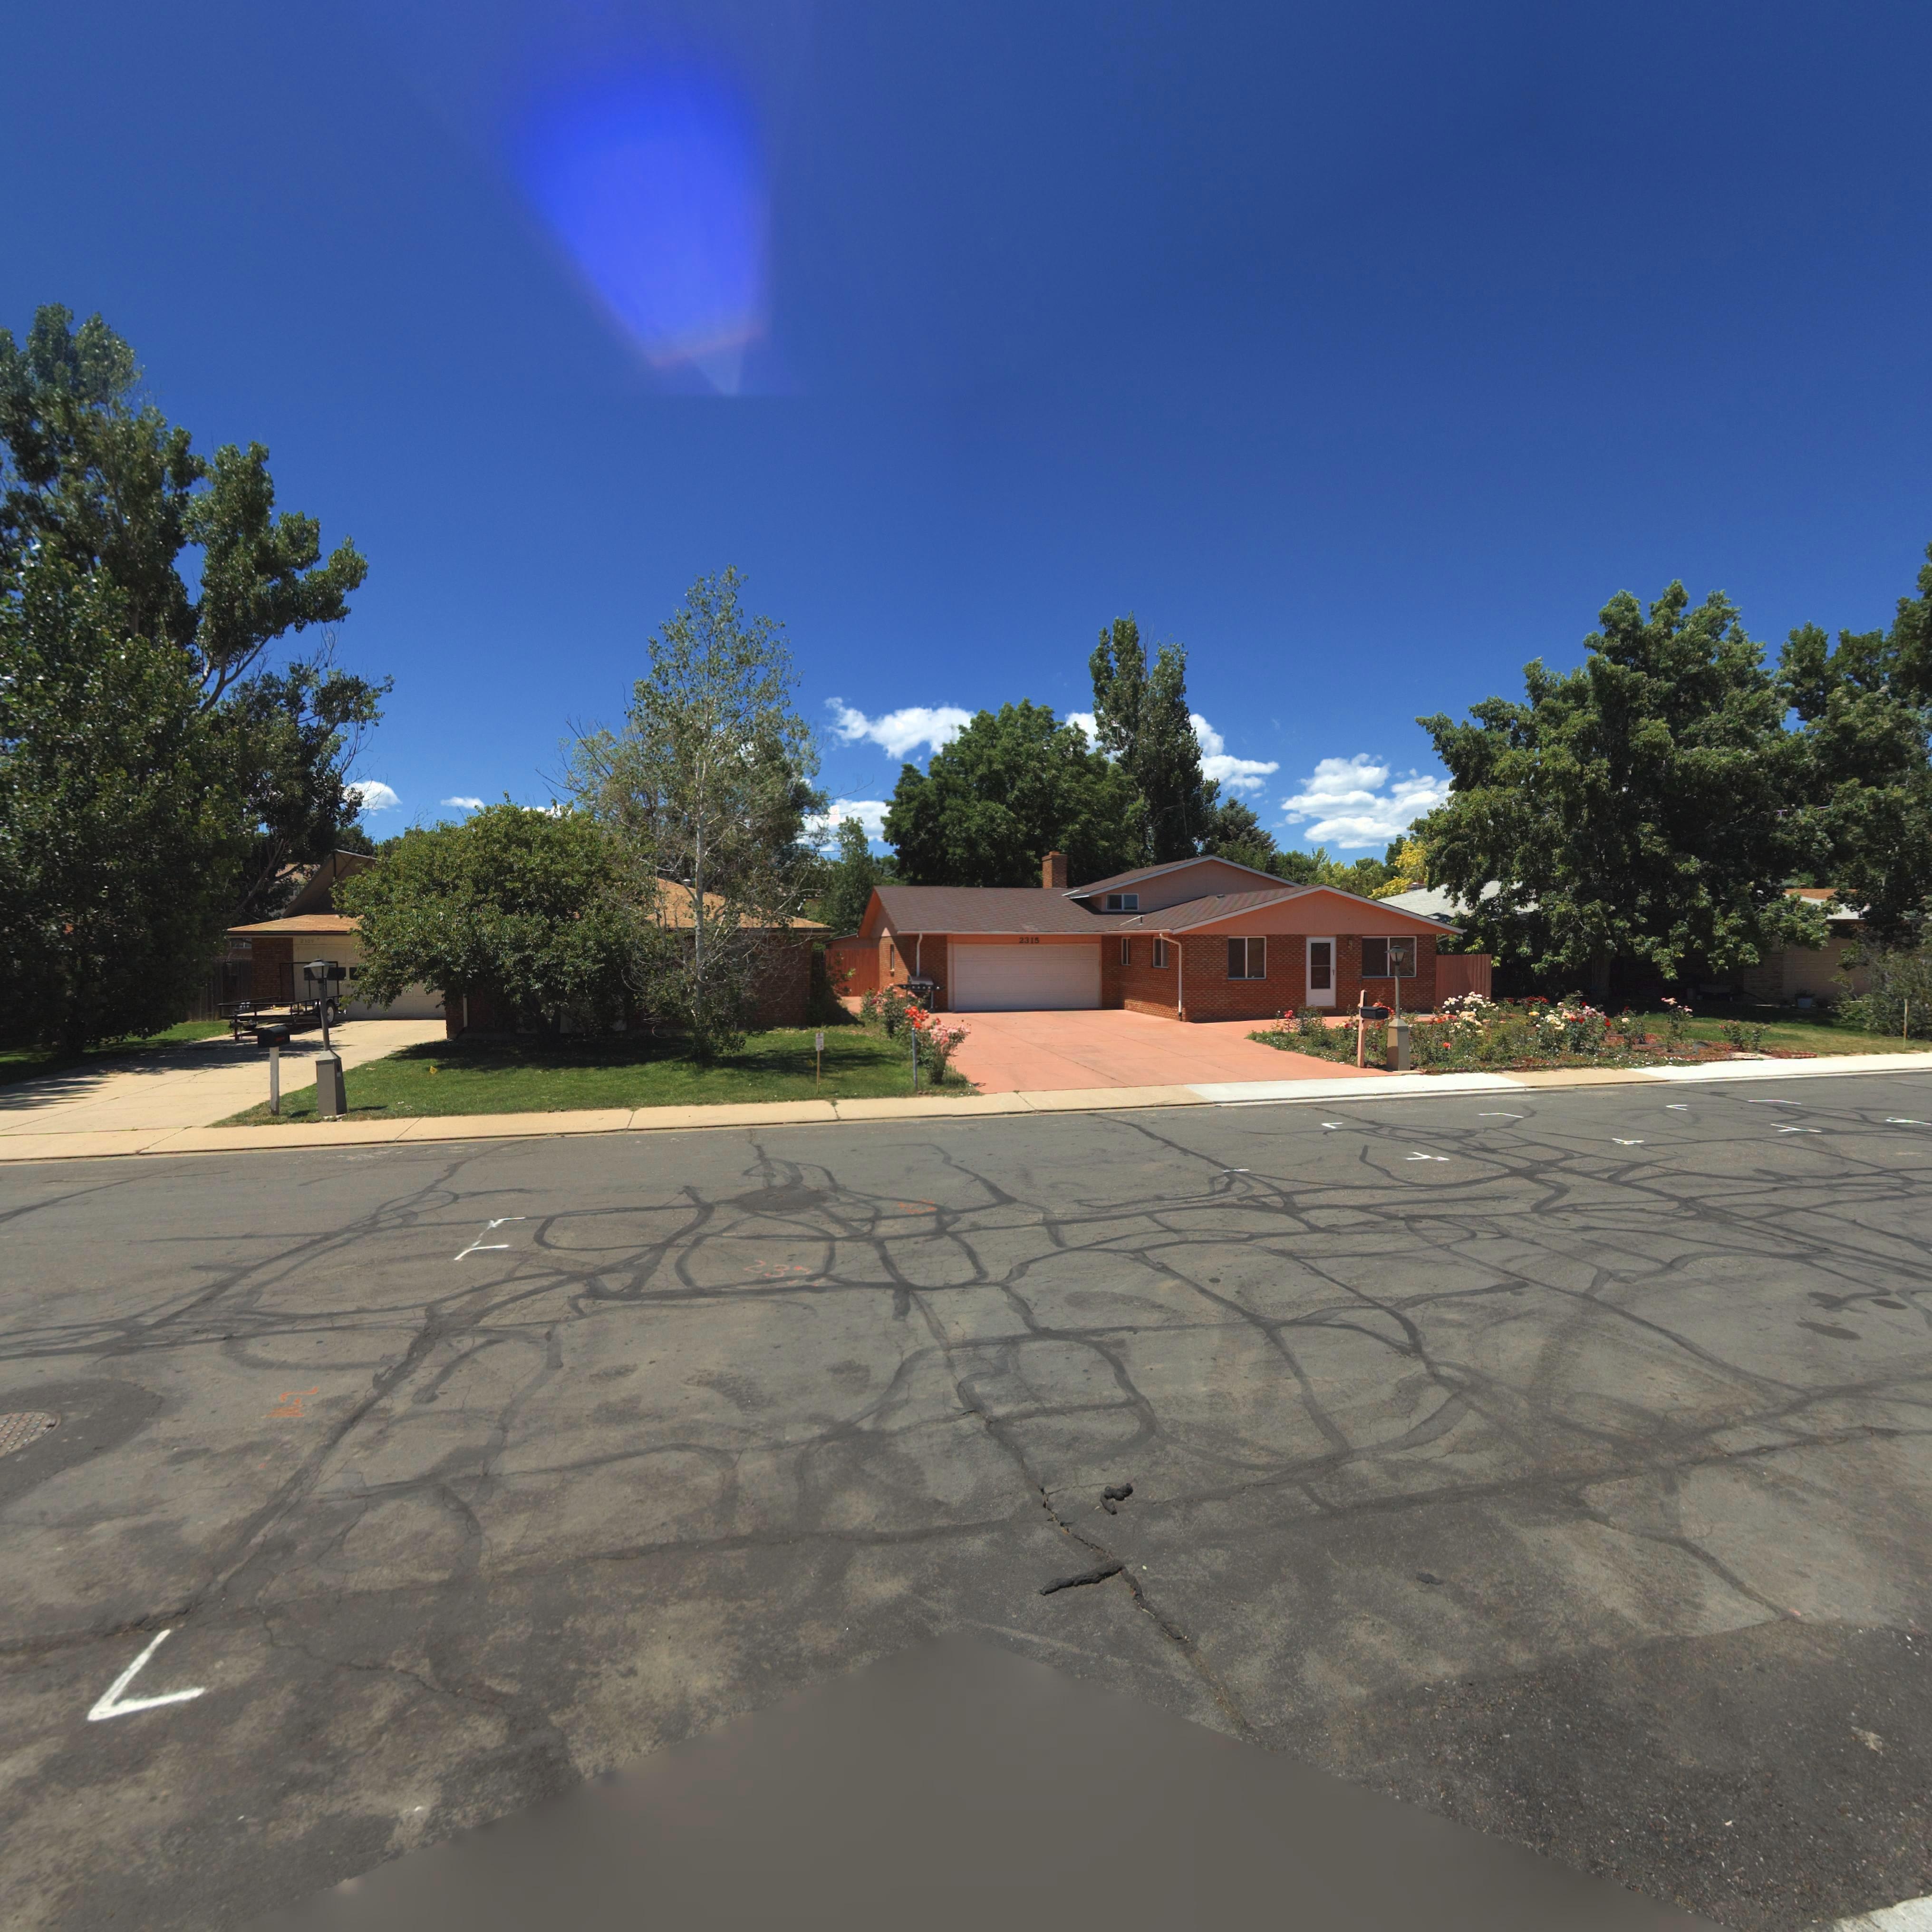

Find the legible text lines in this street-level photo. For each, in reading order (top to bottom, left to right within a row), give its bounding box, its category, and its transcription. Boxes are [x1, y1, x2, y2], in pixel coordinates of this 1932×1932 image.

[300, 938, 314, 944] StreetNumber: 2109
[1019, 937, 1040, 943] StreetNumber: 2315